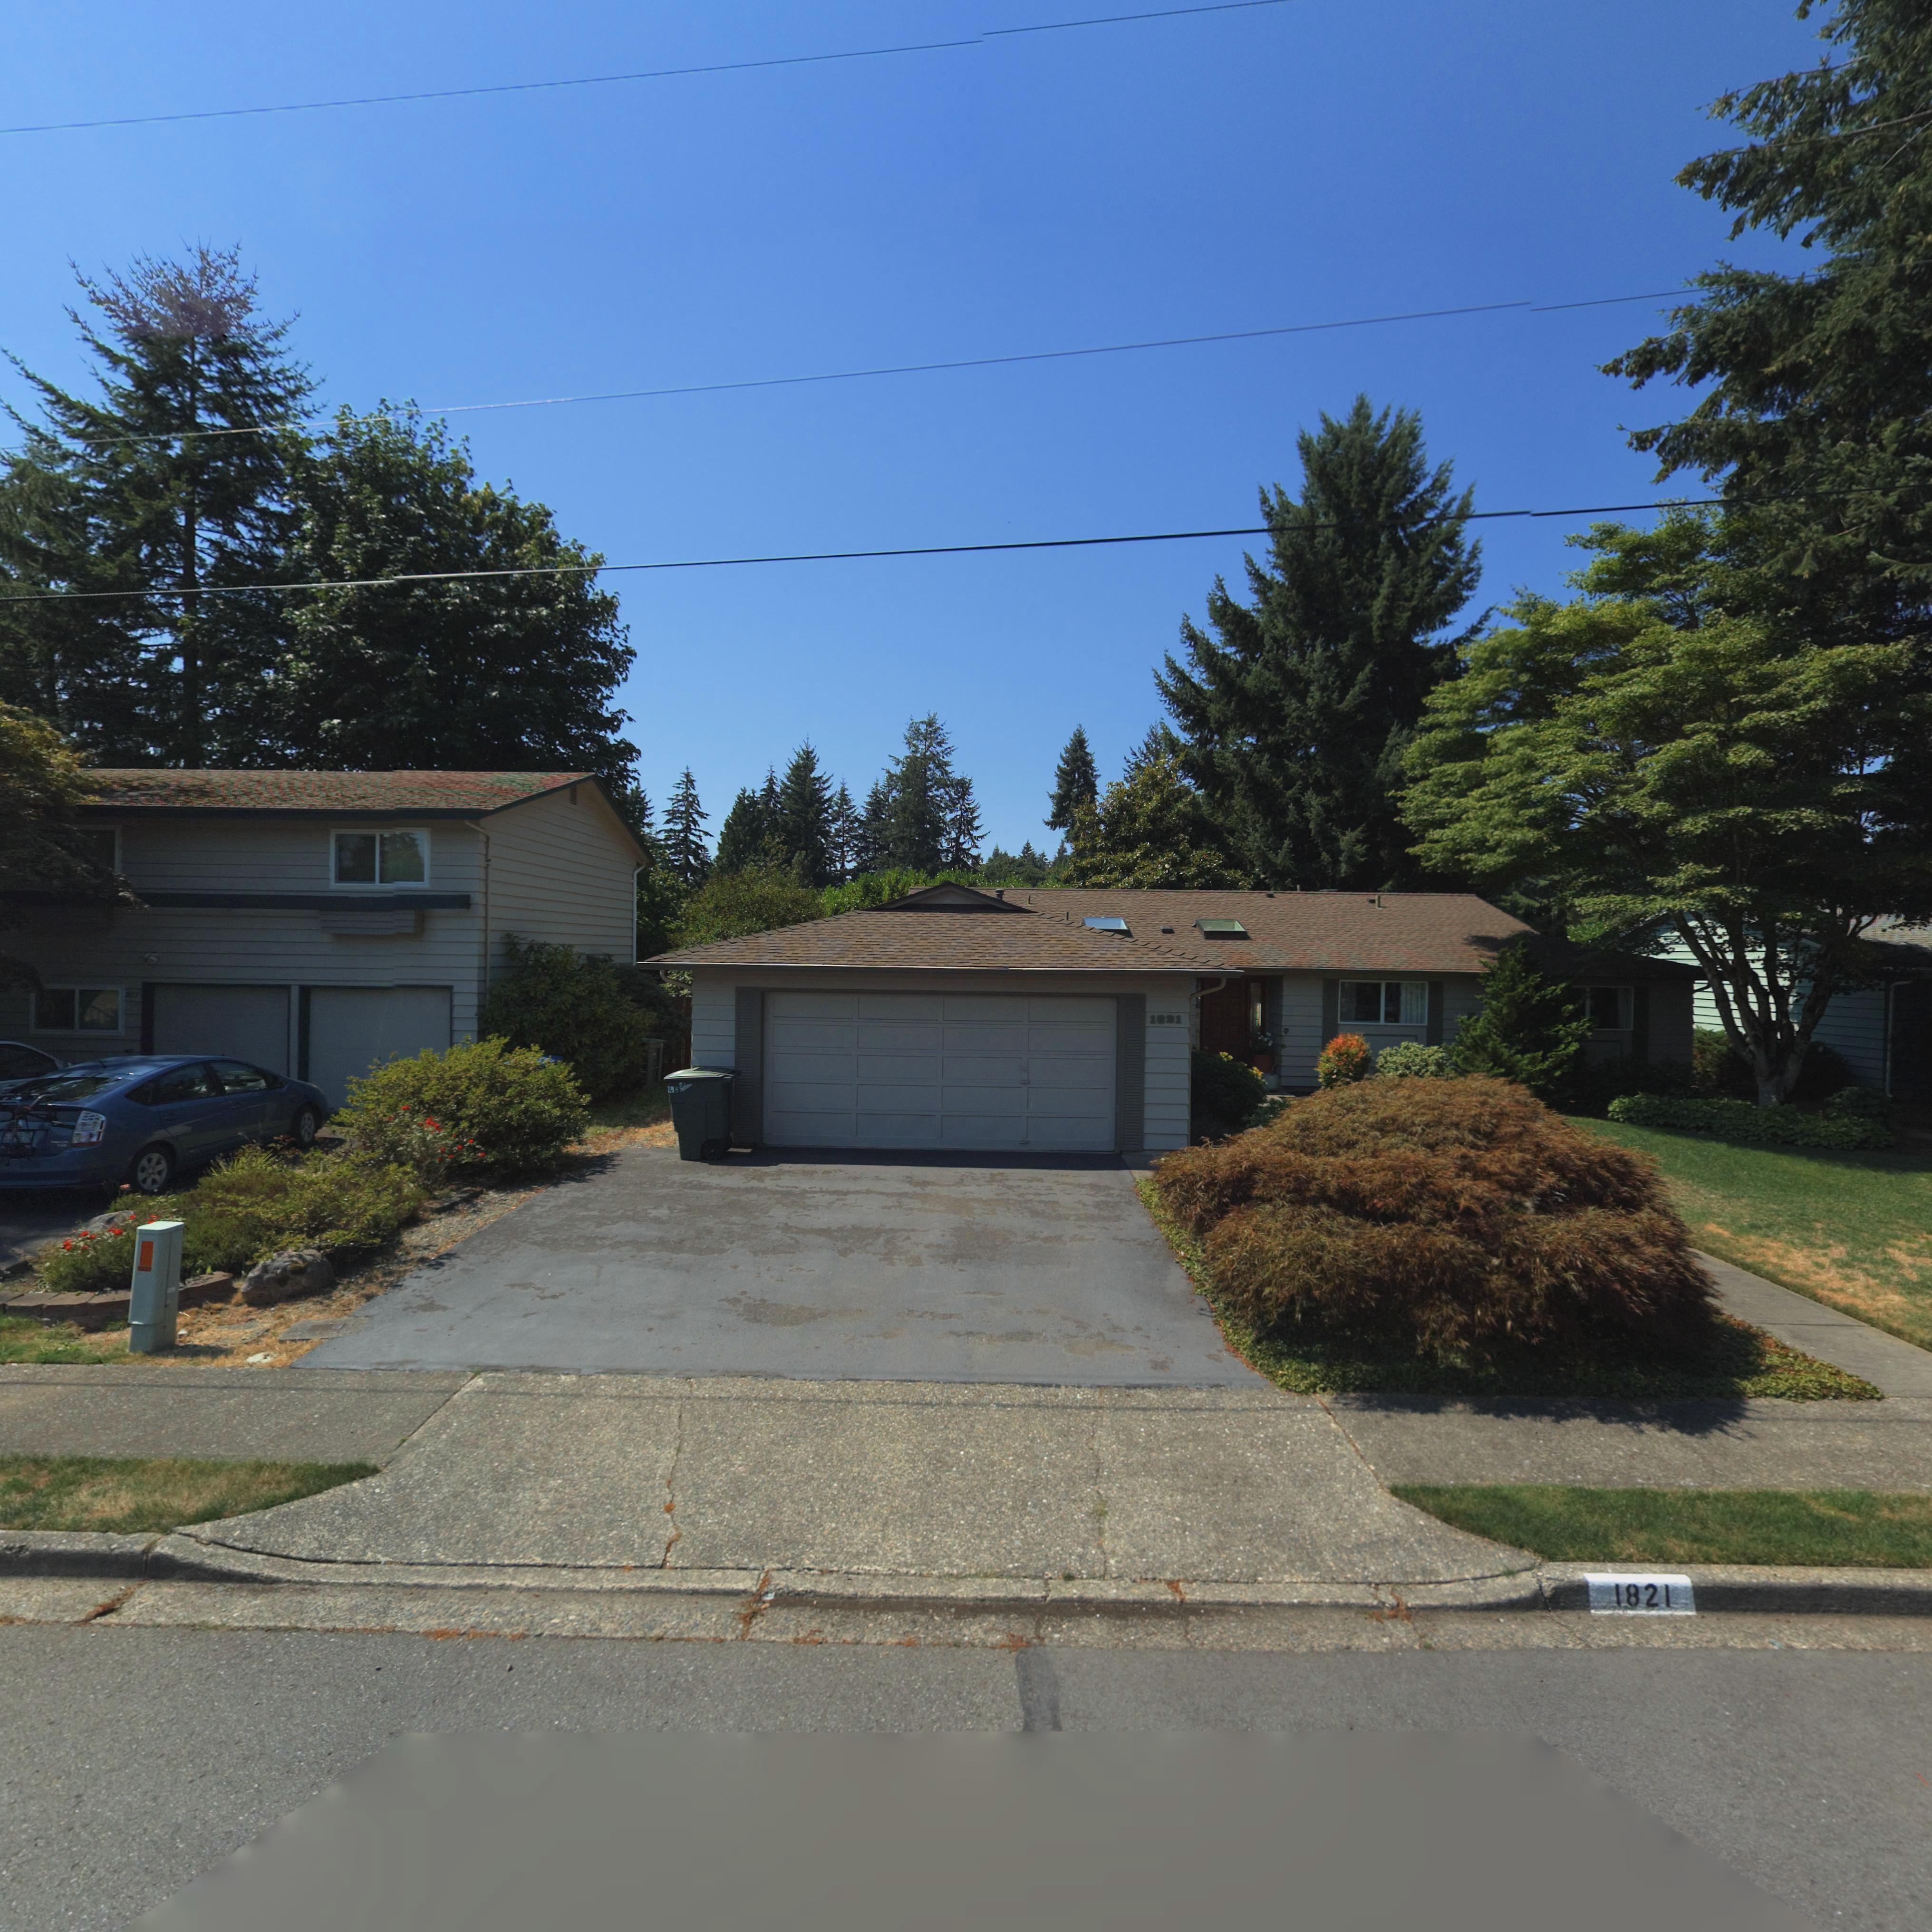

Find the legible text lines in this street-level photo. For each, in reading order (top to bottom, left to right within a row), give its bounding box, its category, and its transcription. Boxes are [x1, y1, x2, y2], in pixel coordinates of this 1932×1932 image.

[1149, 1014, 1181, 1024] StreetNumber: 1*21
[1613, 1581, 1672, 1609] StreetNumber: 1821